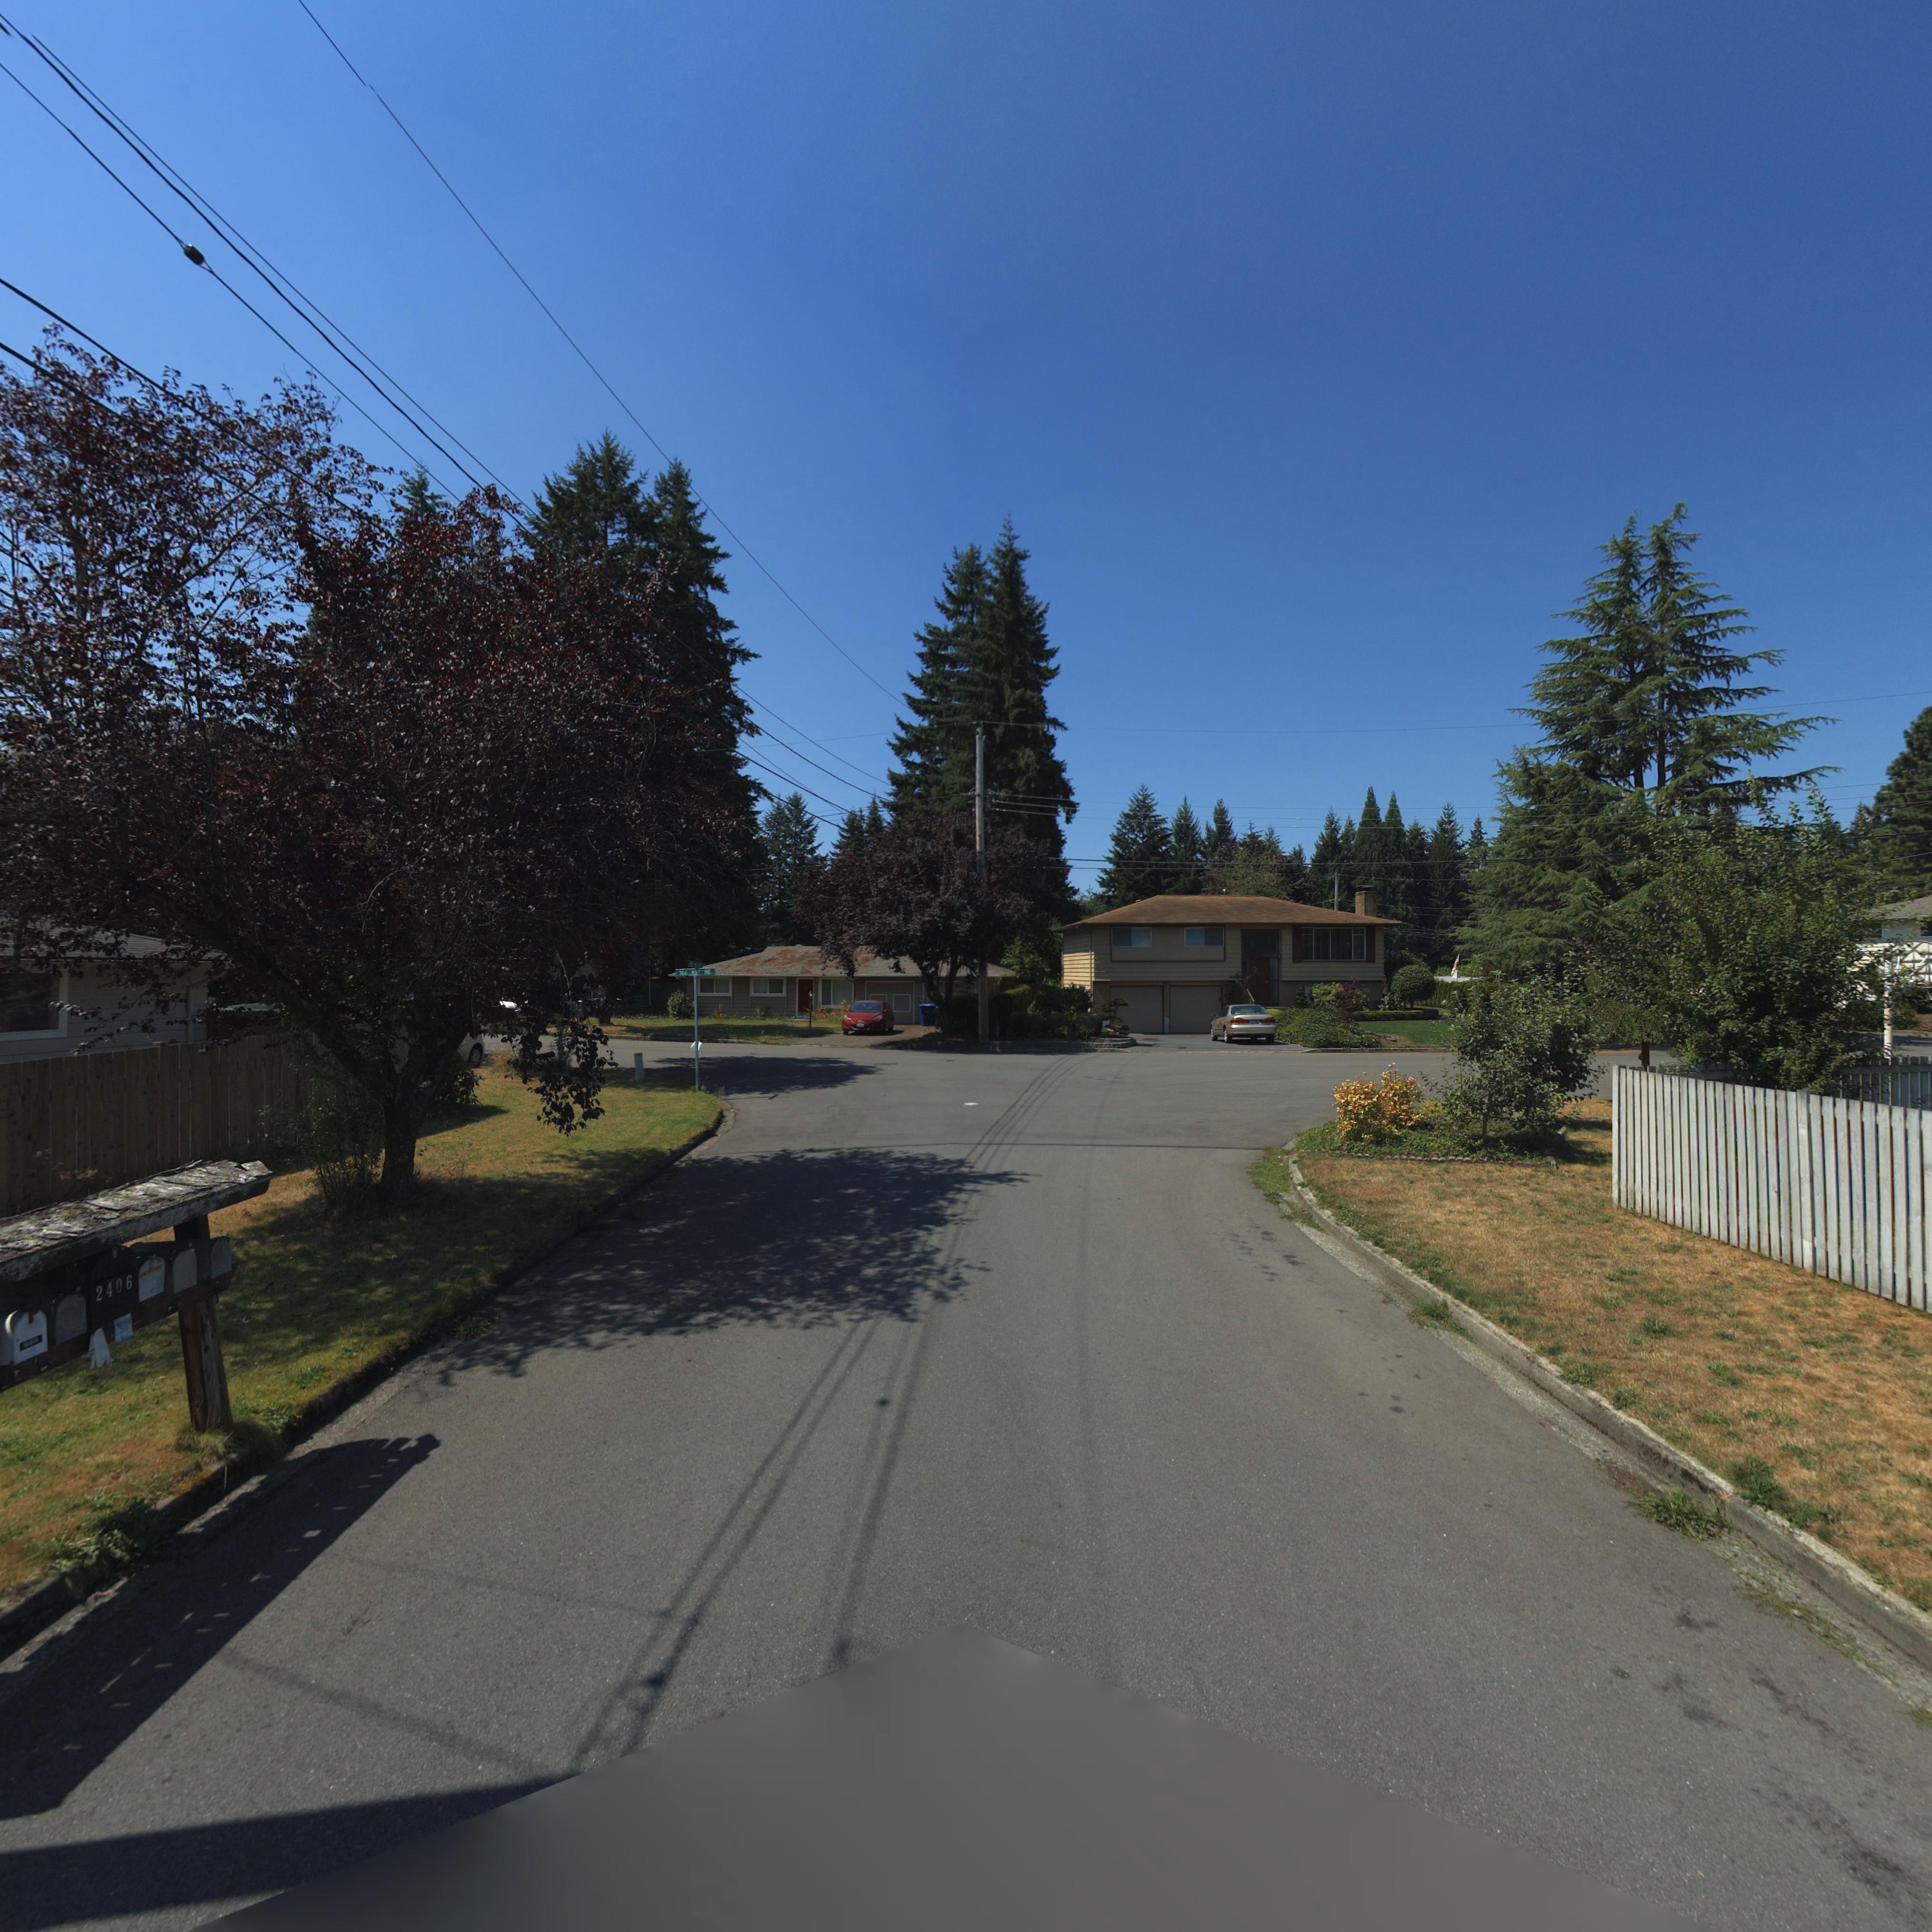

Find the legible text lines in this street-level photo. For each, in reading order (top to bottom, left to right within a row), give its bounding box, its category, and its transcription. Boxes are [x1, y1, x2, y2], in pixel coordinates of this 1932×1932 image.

[679, 969, 711, 975] StreetName: 166 AVE NE
[95, 1274, 133, 1303] StreetNumber: 2406